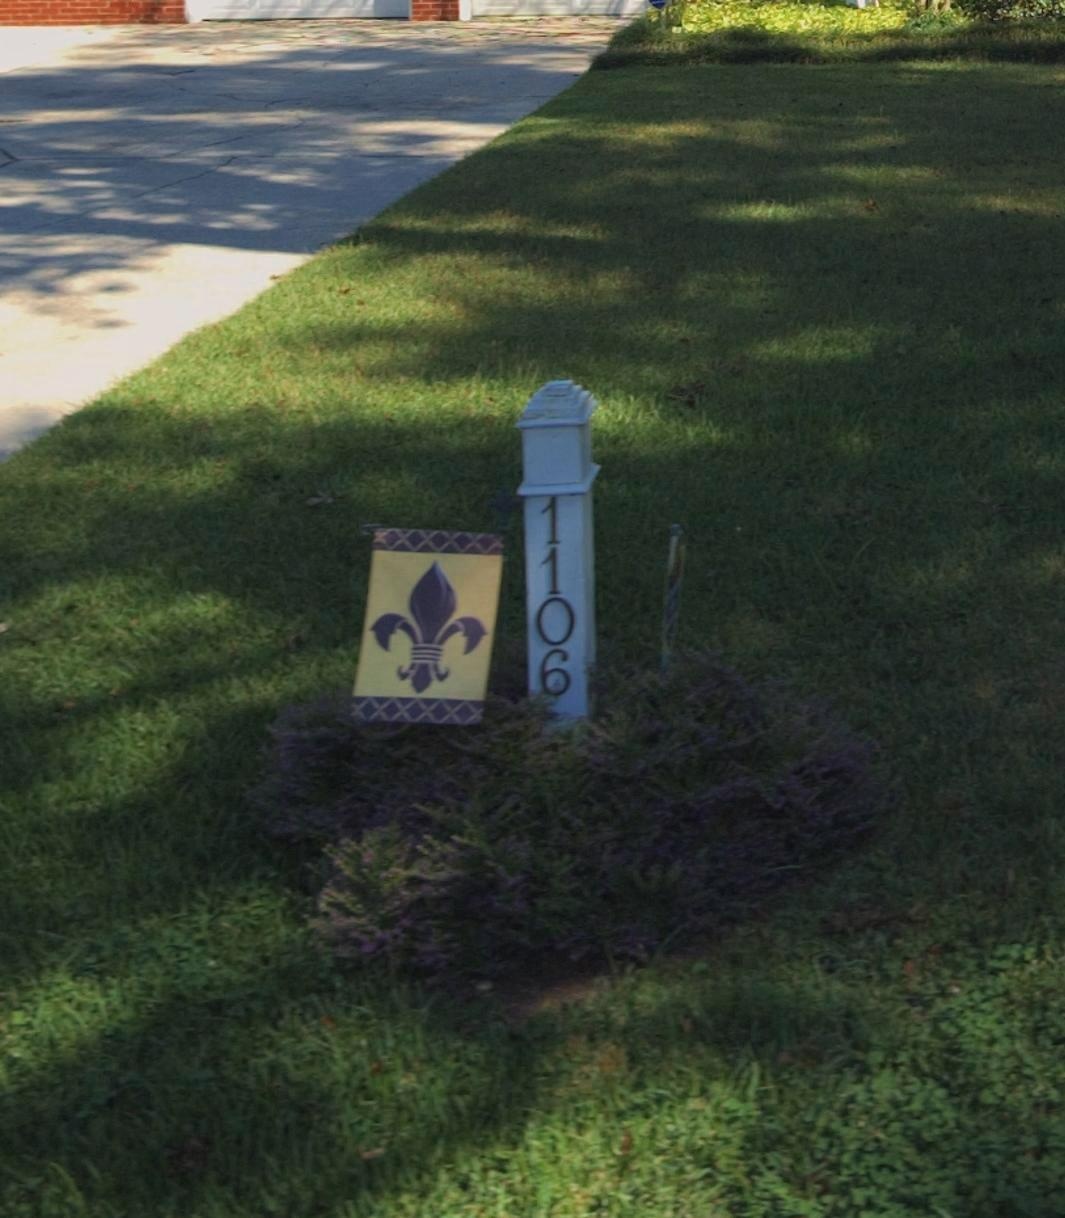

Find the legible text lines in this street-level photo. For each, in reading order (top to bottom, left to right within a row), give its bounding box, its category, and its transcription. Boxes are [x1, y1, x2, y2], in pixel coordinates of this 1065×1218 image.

[534, 491, 579, 701] StreetNumber: 1106